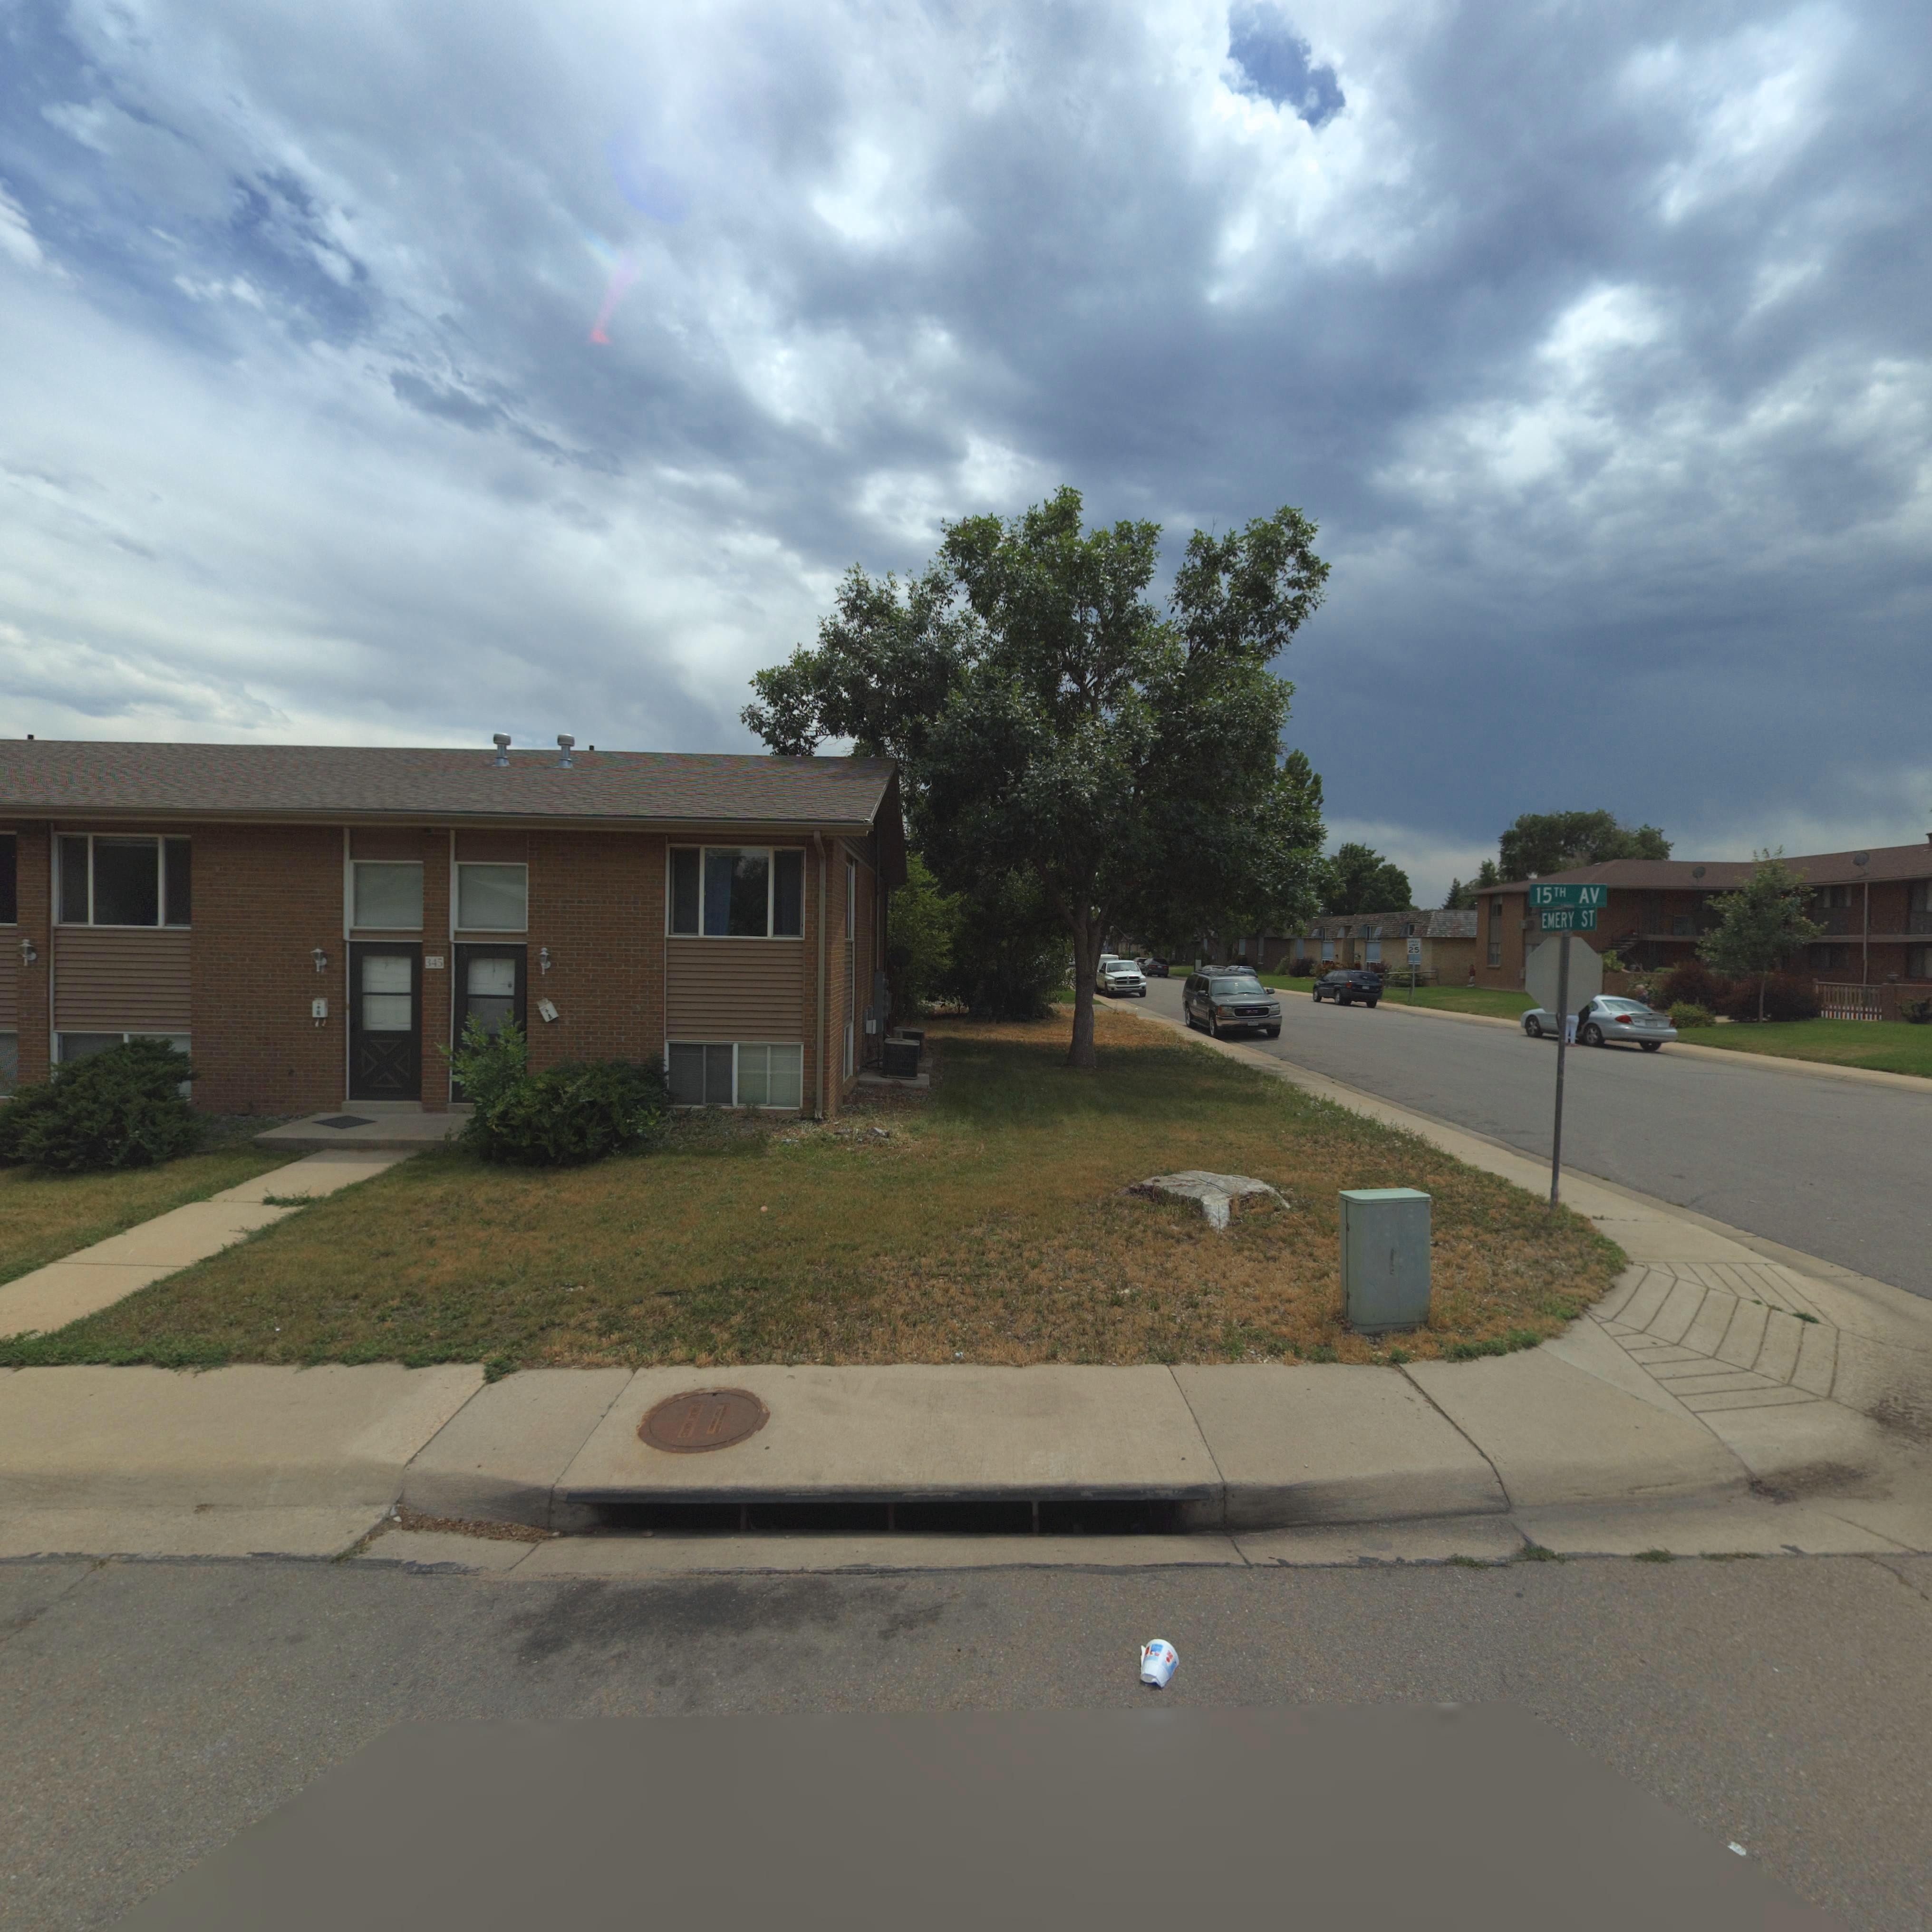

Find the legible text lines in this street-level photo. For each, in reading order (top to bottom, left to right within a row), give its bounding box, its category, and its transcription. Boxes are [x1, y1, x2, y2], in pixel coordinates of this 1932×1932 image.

[1536, 885, 1602, 904] StreetName: 15TH AV
[1541, 909, 1595, 929] StreetName: EMERY ST
[425, 957, 443, 967] StreetNumber: 345